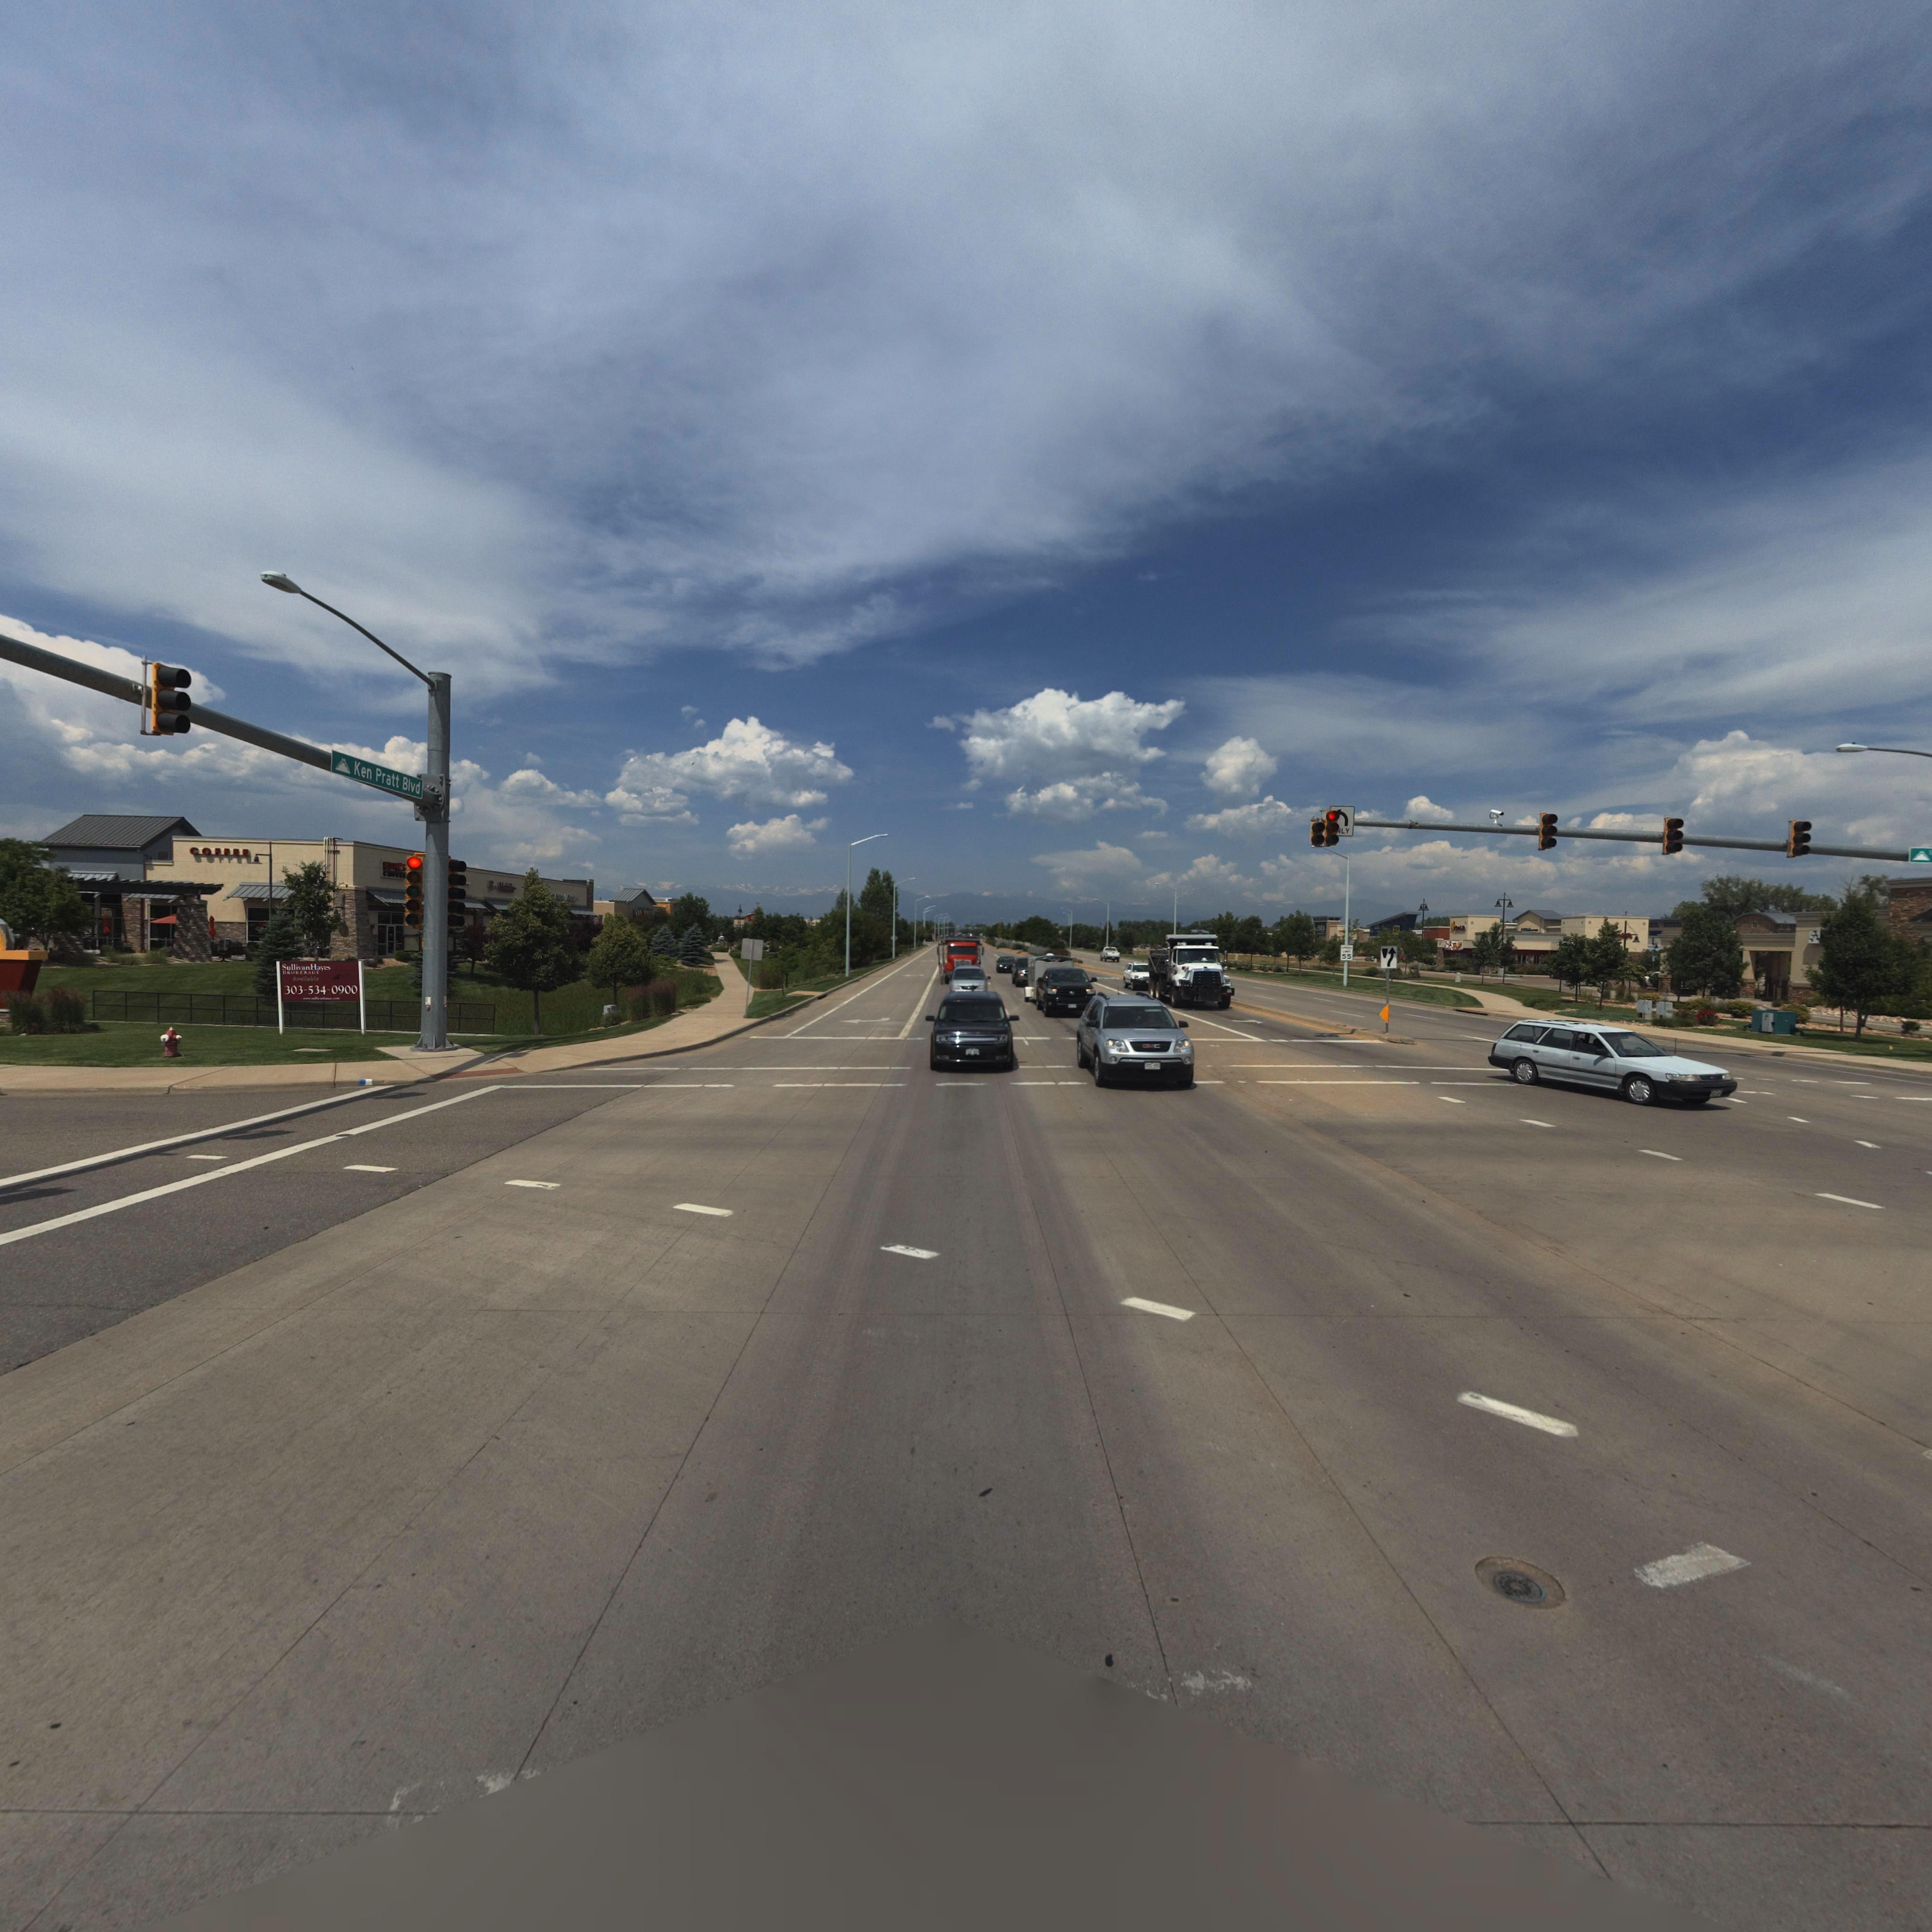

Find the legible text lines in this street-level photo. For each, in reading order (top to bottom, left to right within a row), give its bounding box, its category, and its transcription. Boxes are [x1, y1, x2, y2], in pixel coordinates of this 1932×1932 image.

[353, 759, 421, 796] StreetName: Ken Pratt Blvd
[189, 847, 249, 857] BusinessName: COFFEE
[488, 880, 515, 893] BusinessName: T***M****e